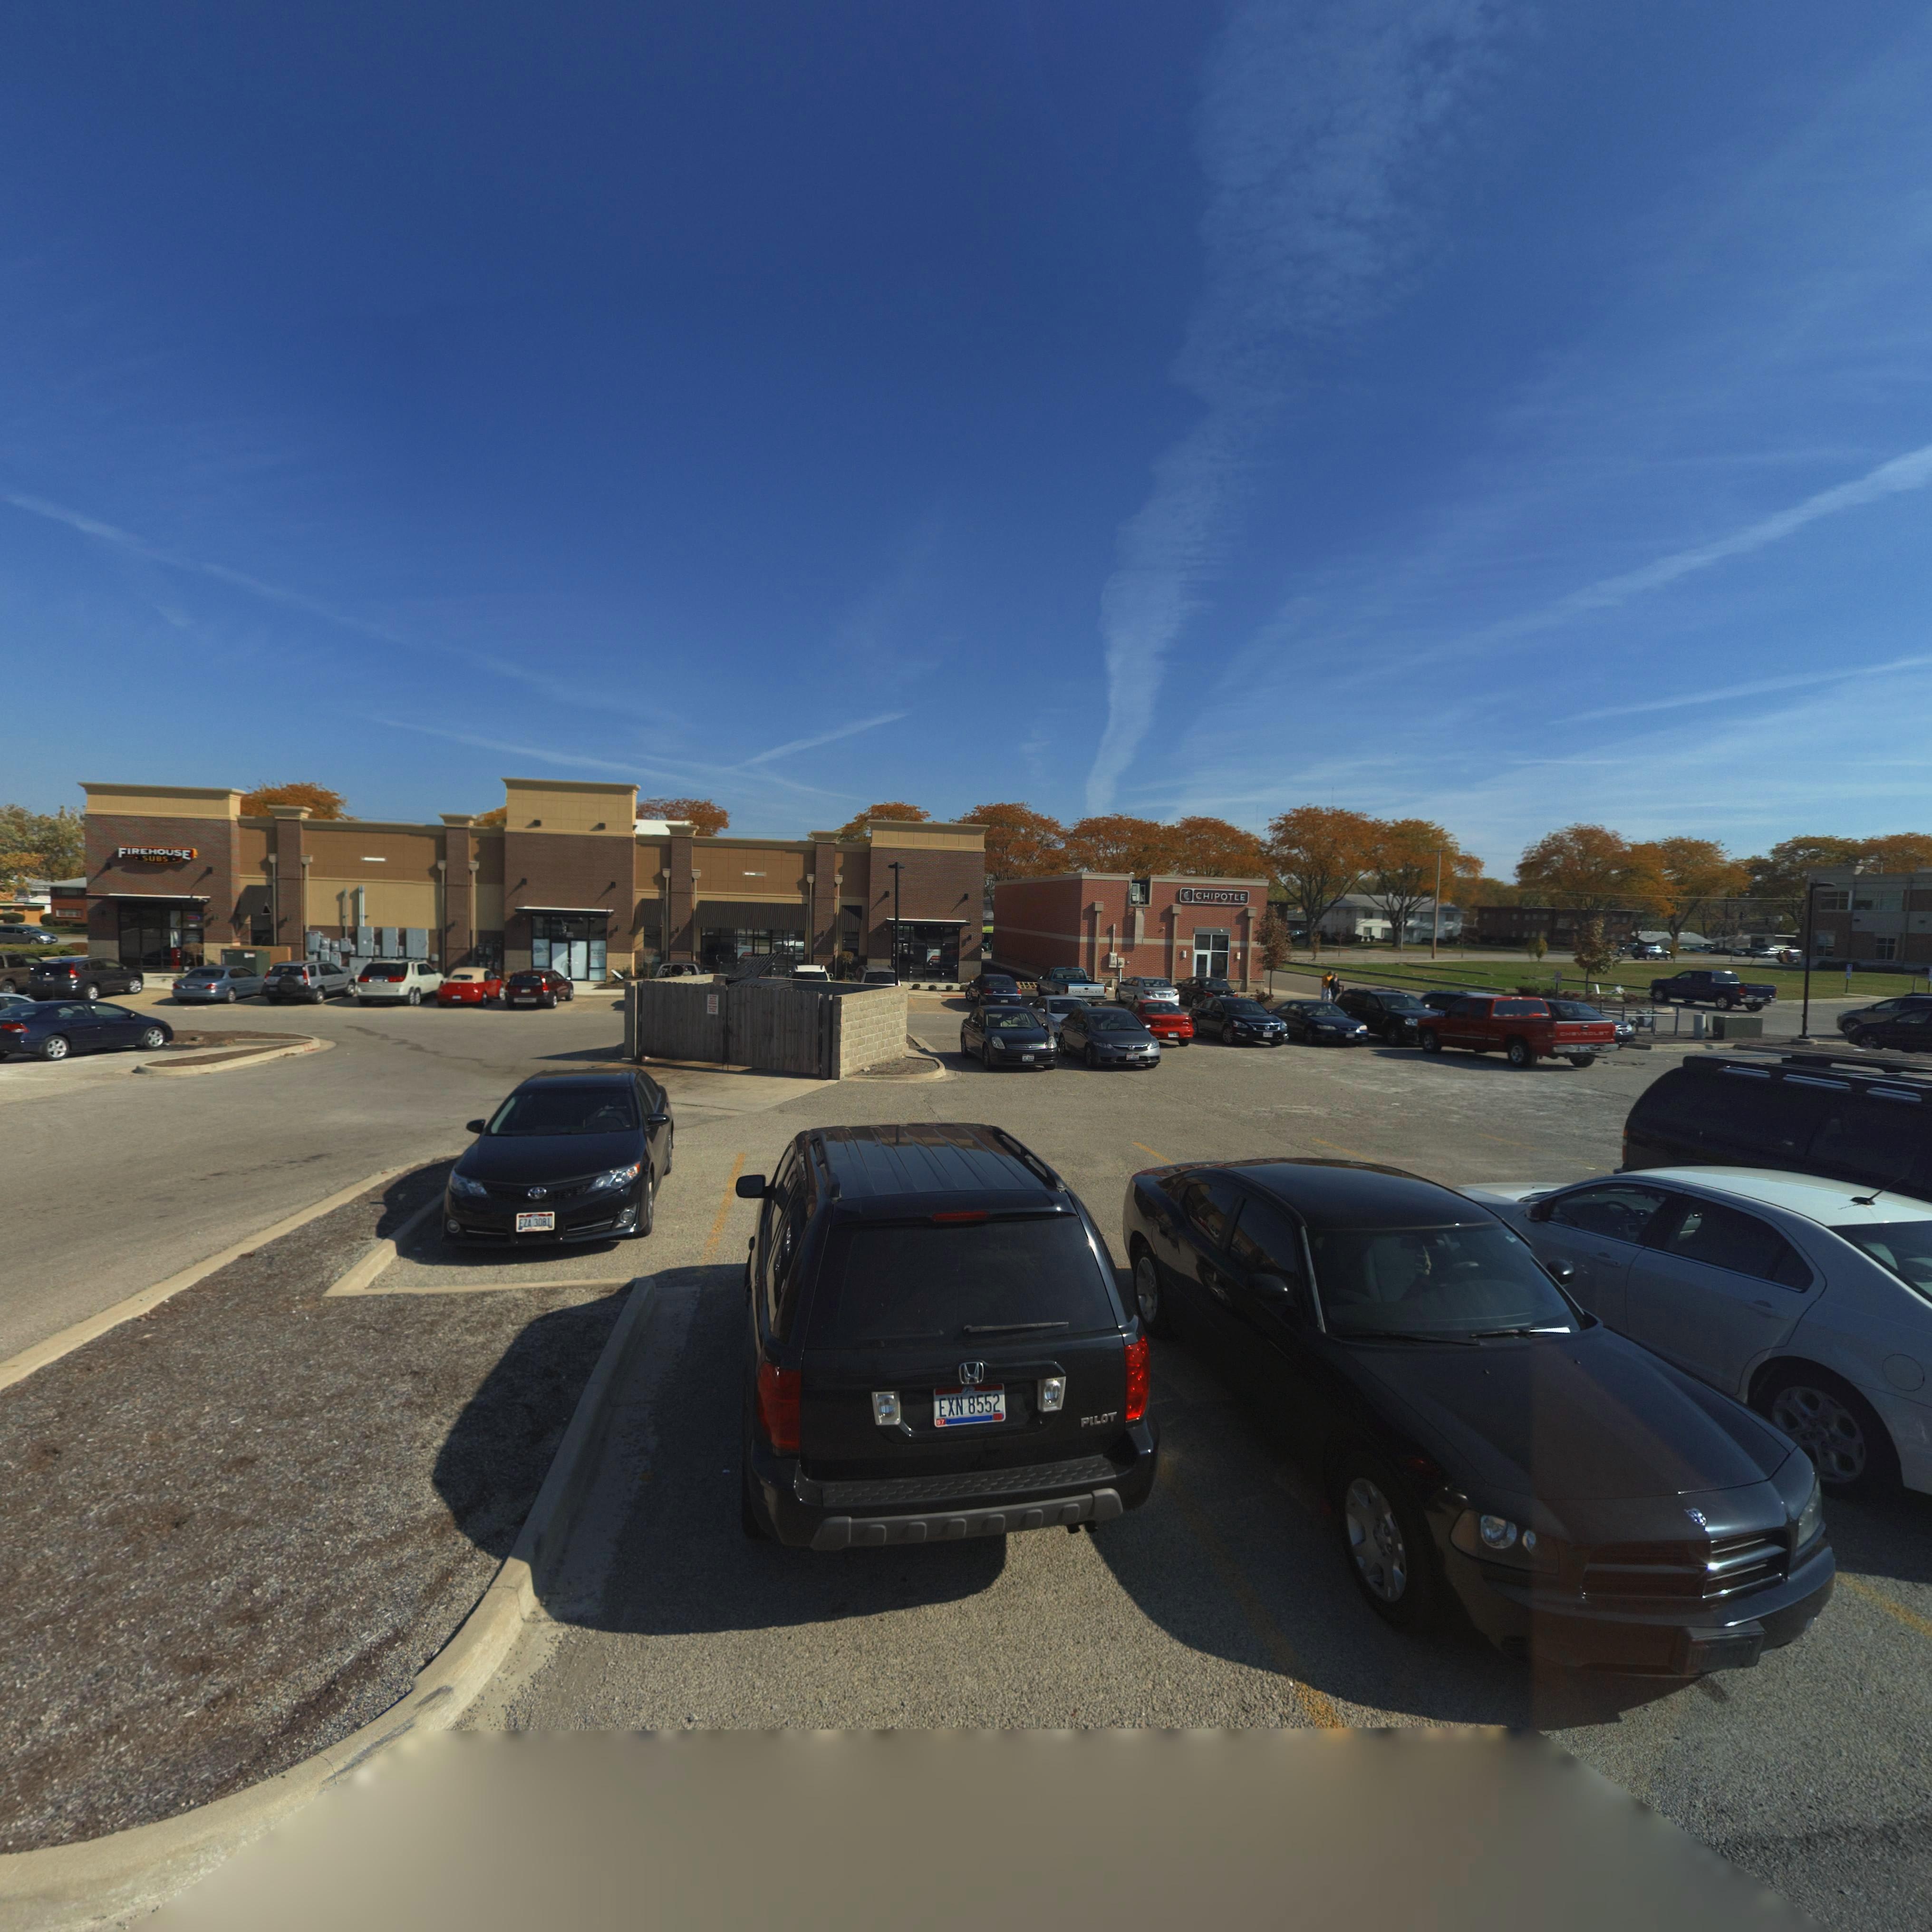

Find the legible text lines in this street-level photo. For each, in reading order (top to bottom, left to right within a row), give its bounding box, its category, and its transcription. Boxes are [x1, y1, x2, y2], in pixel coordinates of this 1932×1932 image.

[117, 847, 192, 861] BusinessName: FIREHOUSE
[141, 854, 170, 863] BusinessName: SUBS
[1195, 891, 1247, 902] BusinessName: CHIPOTLE
[935, 1418, 946, 1426] None: 57